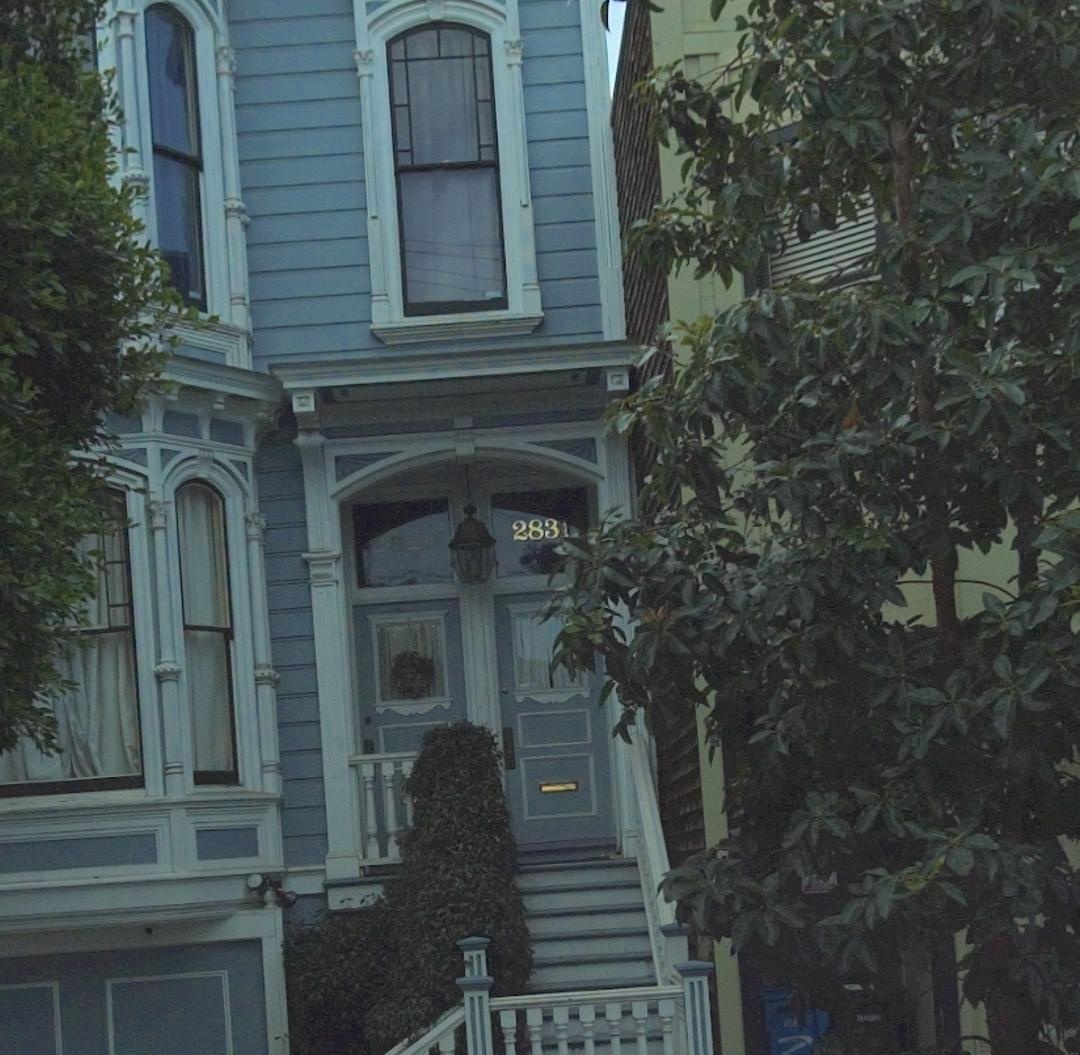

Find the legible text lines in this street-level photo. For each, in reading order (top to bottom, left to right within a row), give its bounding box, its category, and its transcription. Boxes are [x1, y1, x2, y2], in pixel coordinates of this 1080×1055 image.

[509, 515, 572, 545] StreetNumber: 2831